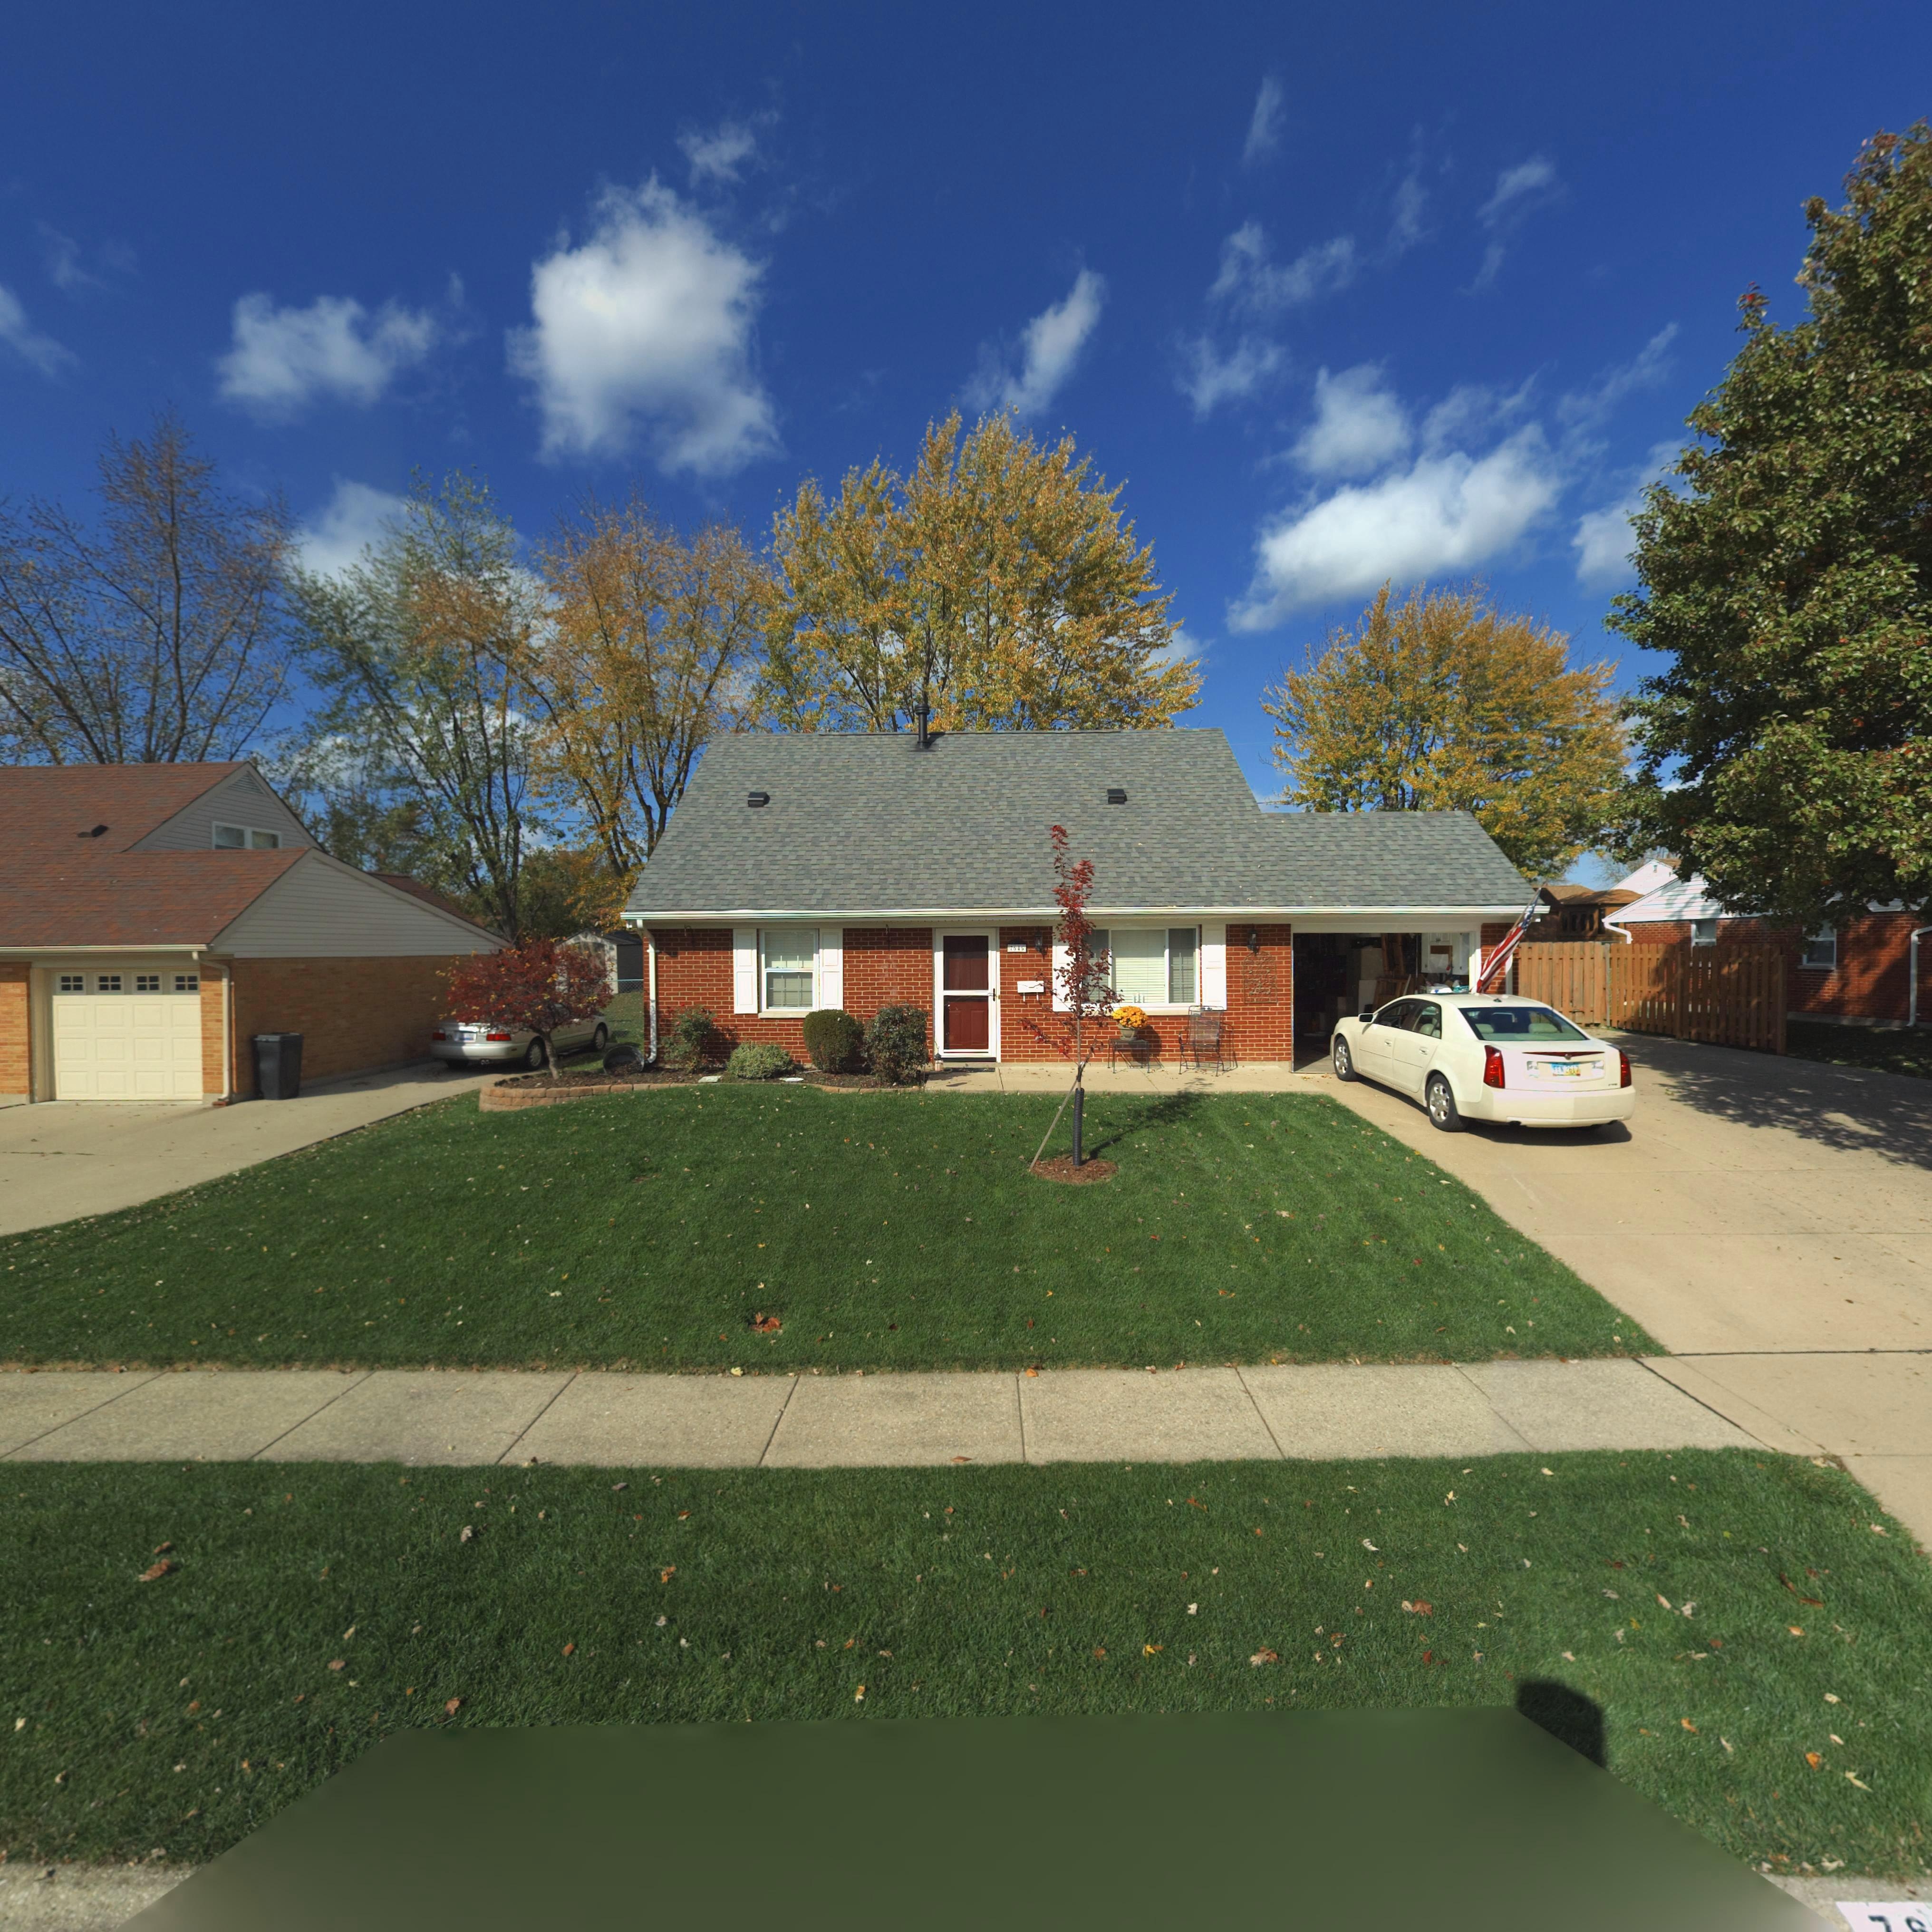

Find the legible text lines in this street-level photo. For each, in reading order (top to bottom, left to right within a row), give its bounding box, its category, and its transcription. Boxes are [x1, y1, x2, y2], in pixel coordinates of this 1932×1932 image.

[1009, 946, 1024, 951] StreetNumber: 7645